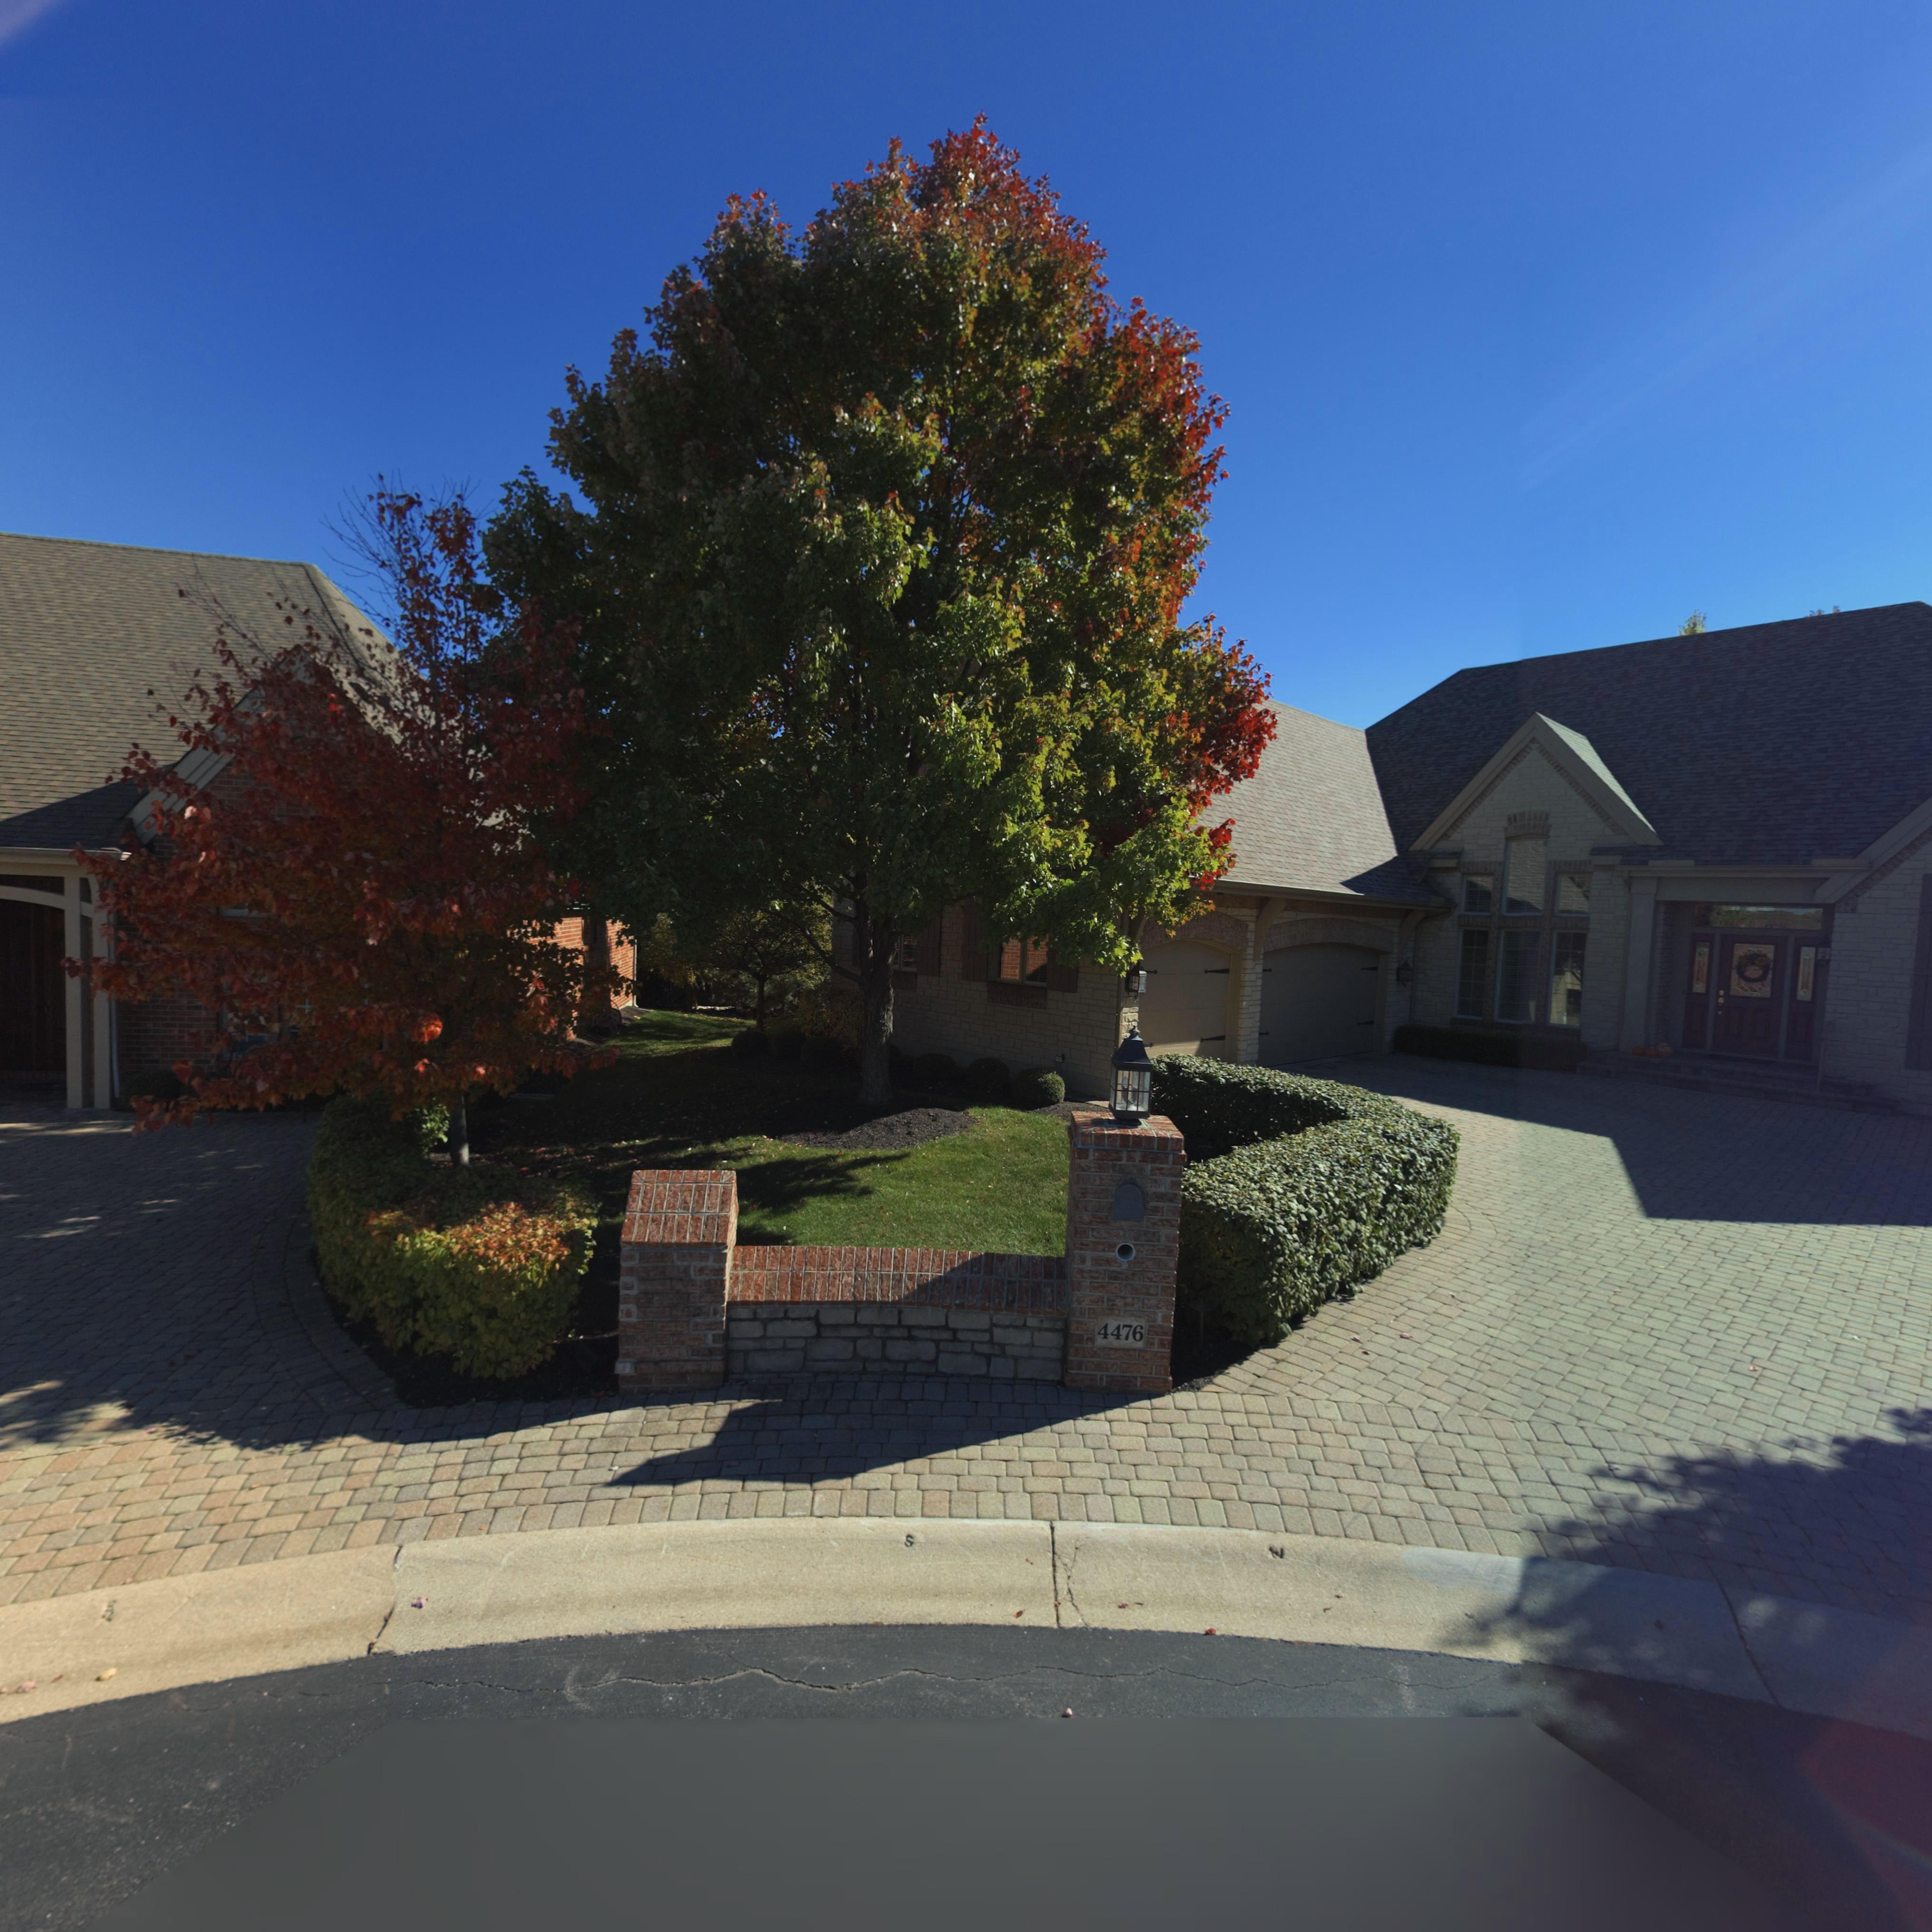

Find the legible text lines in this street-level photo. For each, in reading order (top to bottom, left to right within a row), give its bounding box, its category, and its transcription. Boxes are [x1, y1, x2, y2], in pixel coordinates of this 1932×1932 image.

[1096, 1322, 1145, 1343] StreetNumber: 4476